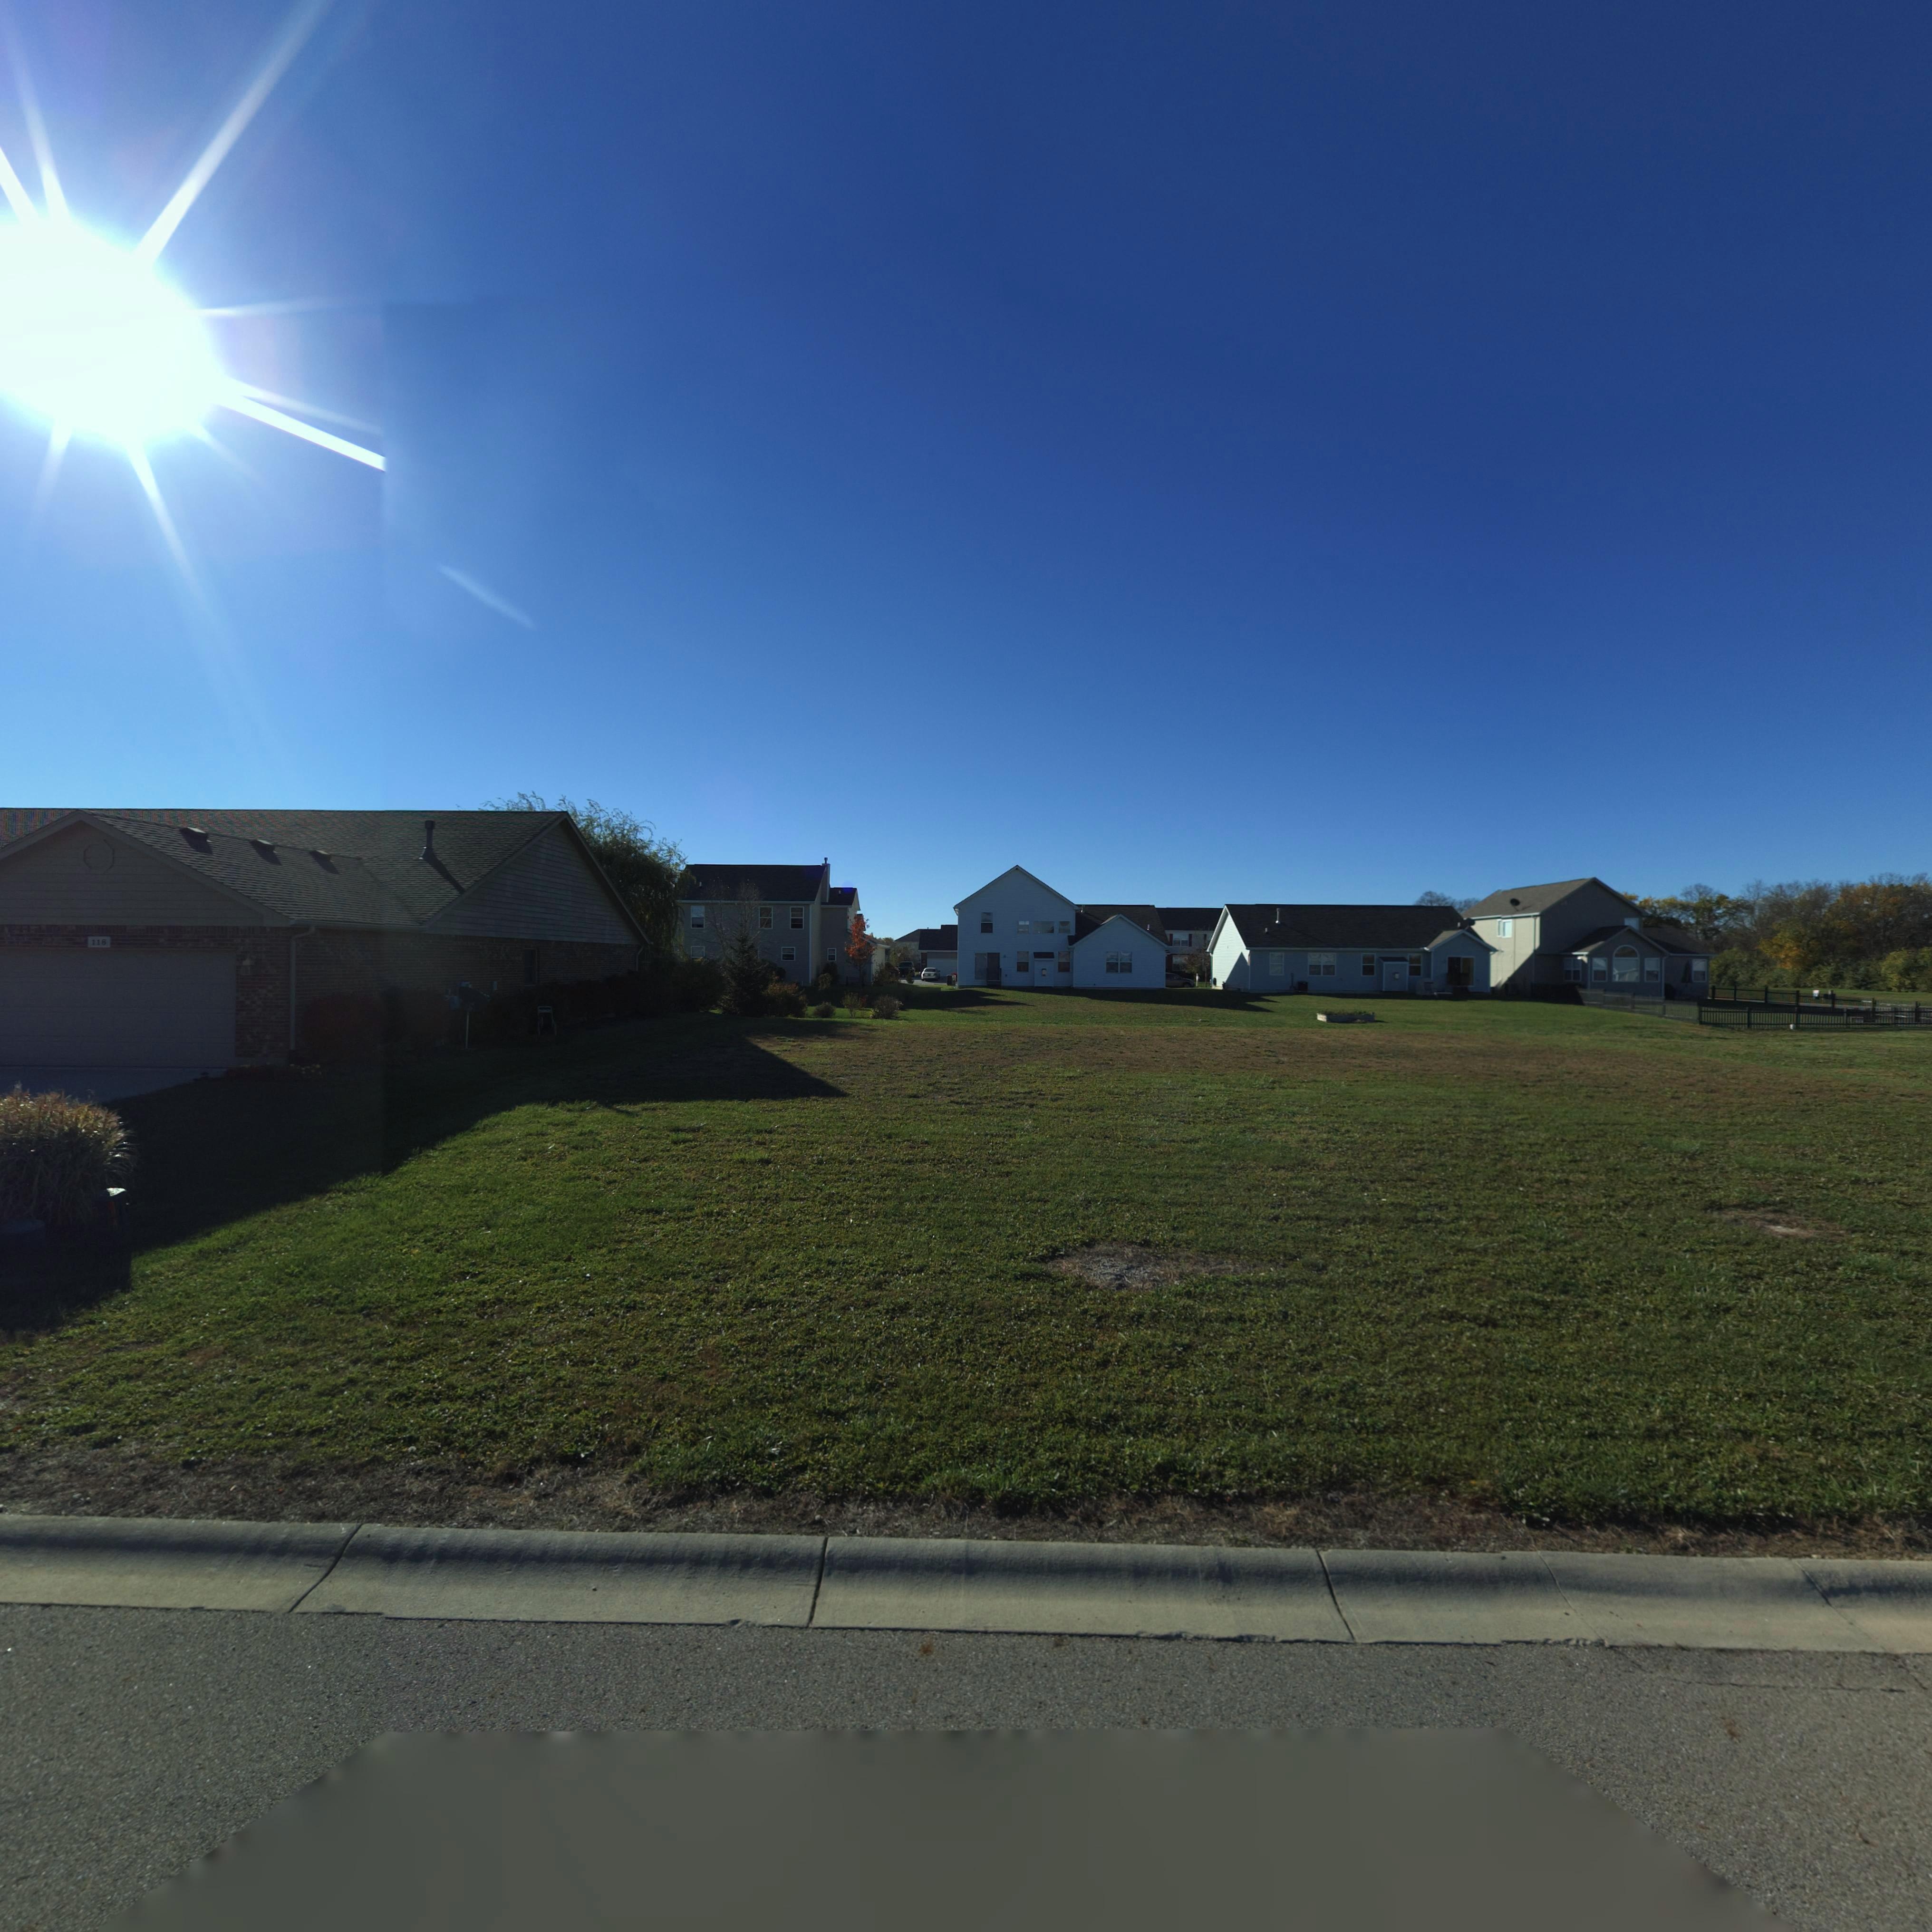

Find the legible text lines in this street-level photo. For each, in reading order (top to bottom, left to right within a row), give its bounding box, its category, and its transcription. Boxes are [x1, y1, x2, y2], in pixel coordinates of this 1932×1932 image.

[91, 938, 107, 946] StreetNumber: 11*